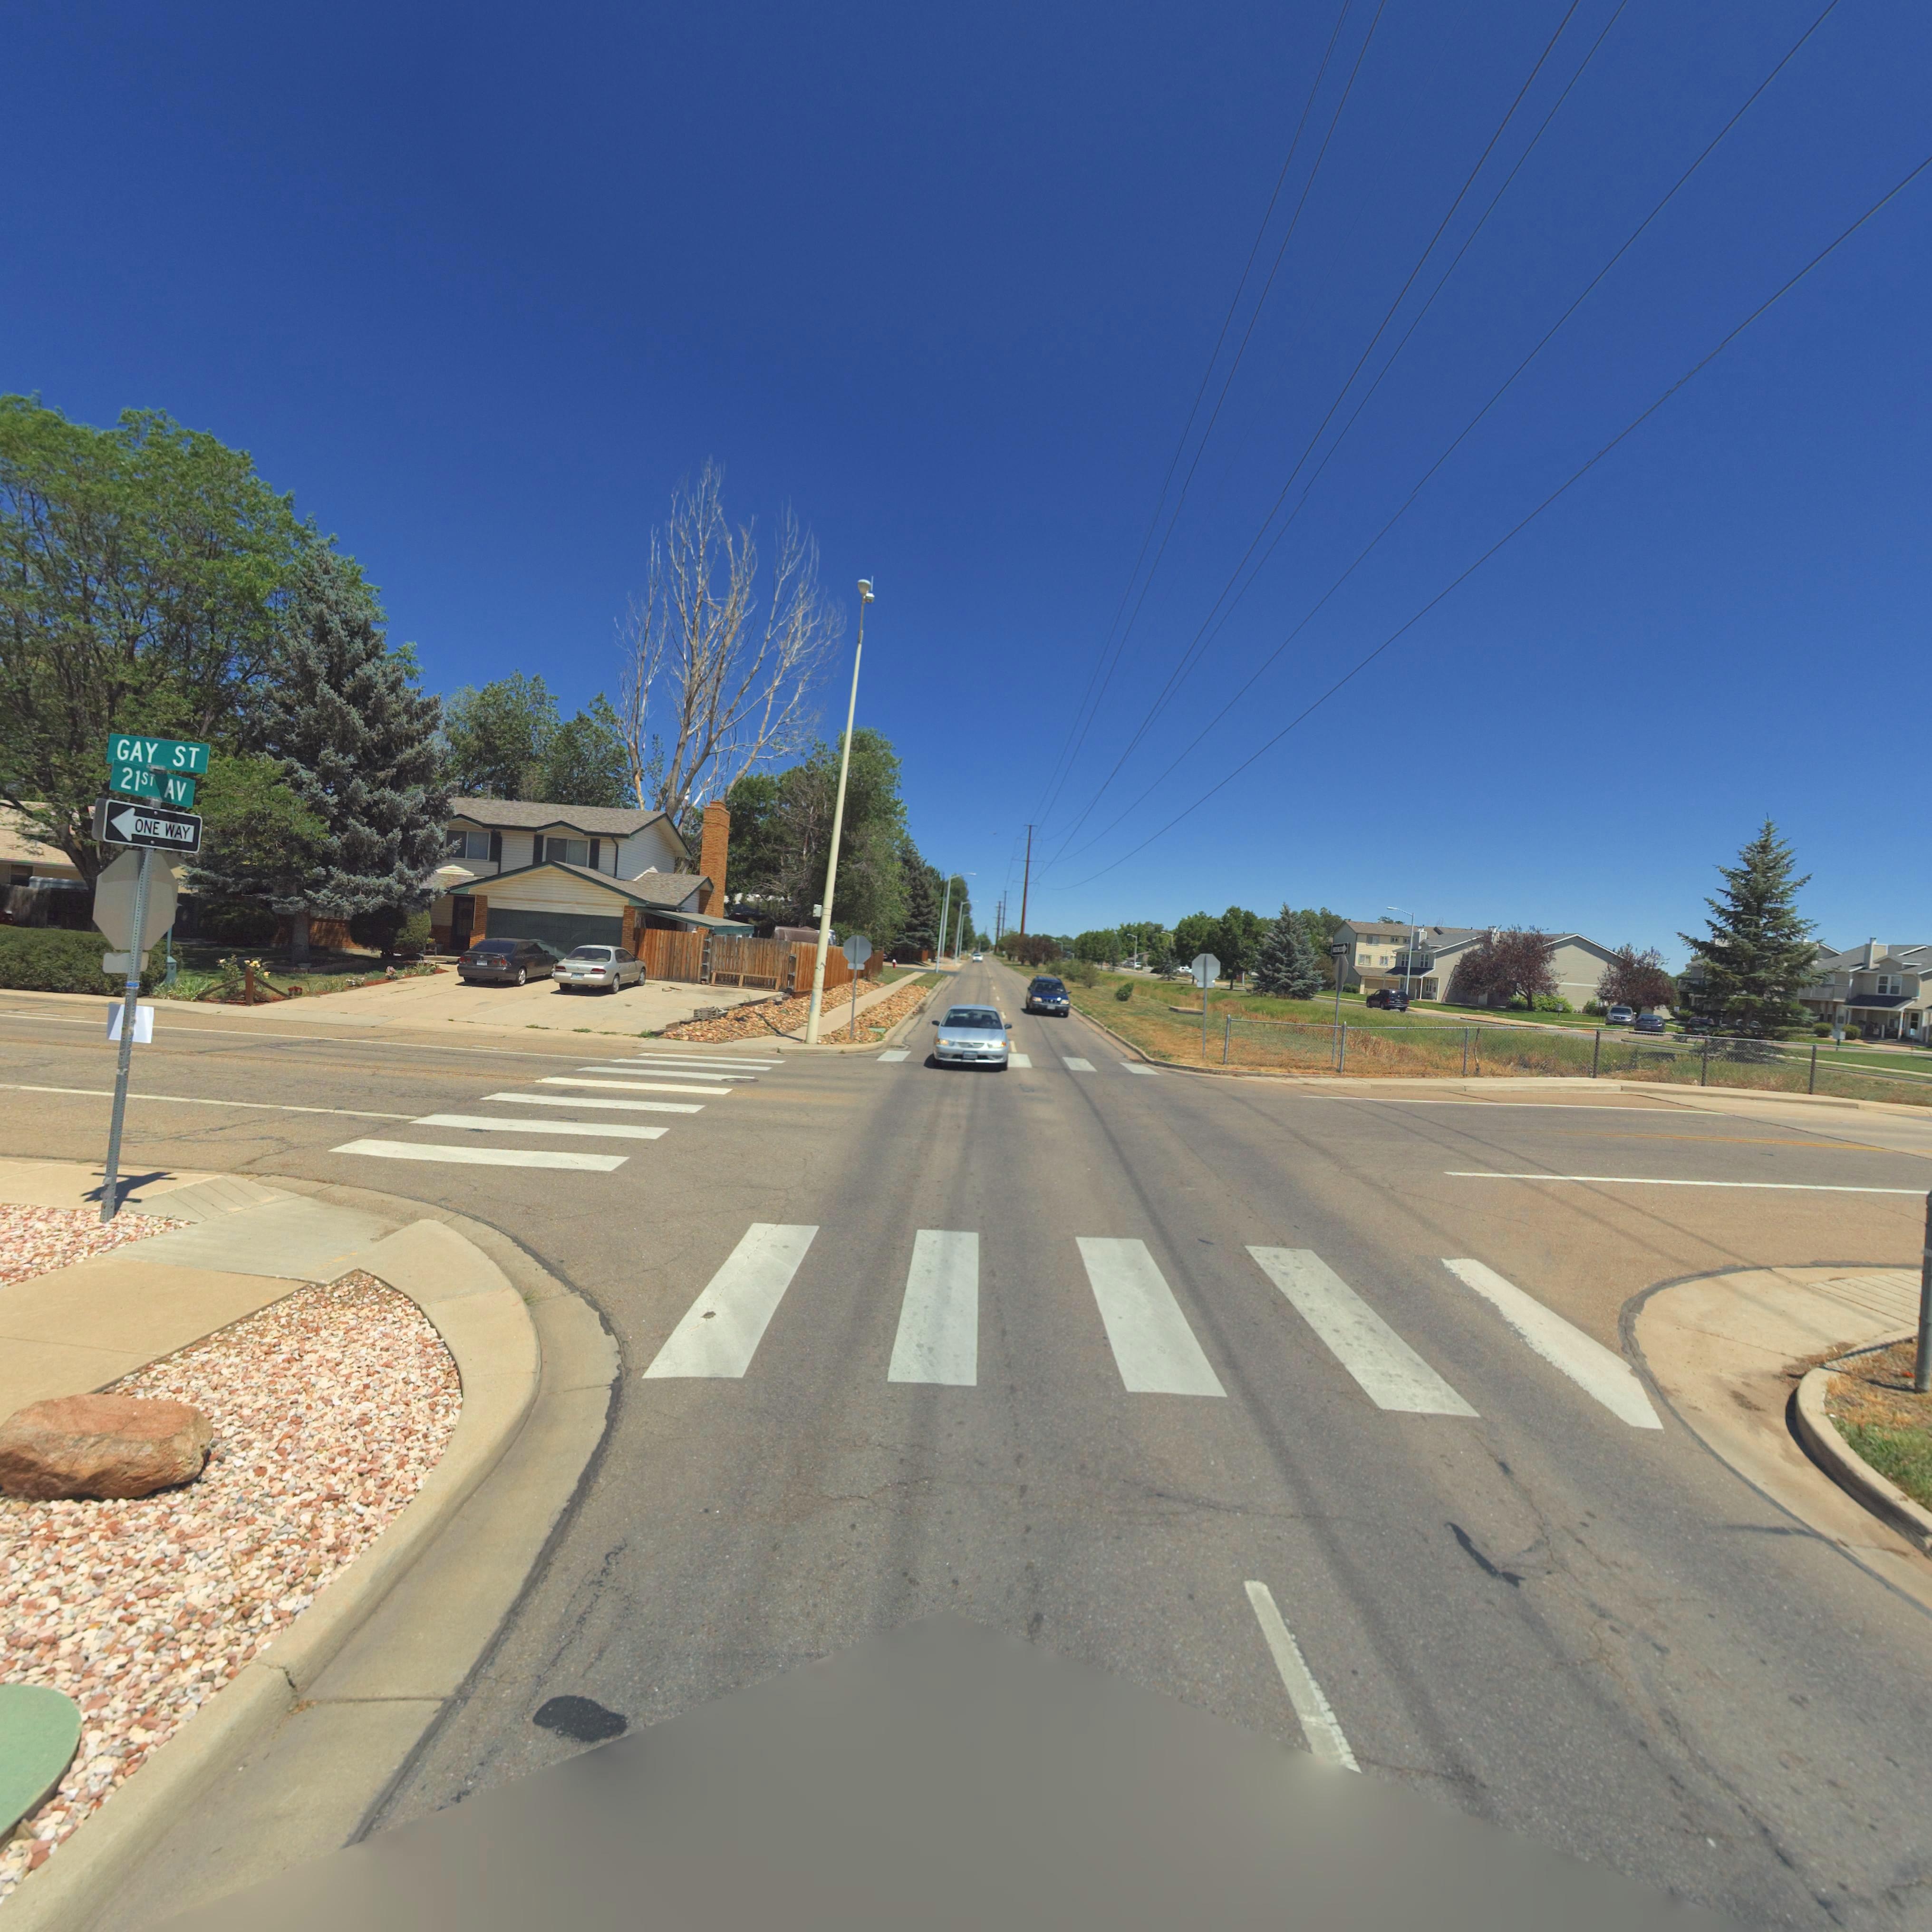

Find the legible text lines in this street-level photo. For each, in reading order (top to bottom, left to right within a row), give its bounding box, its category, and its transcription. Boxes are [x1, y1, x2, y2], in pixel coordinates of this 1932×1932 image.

[116, 739, 200, 769] StreetName: GAY ST
[116, 763, 190, 804] StreetName: 21ST AV